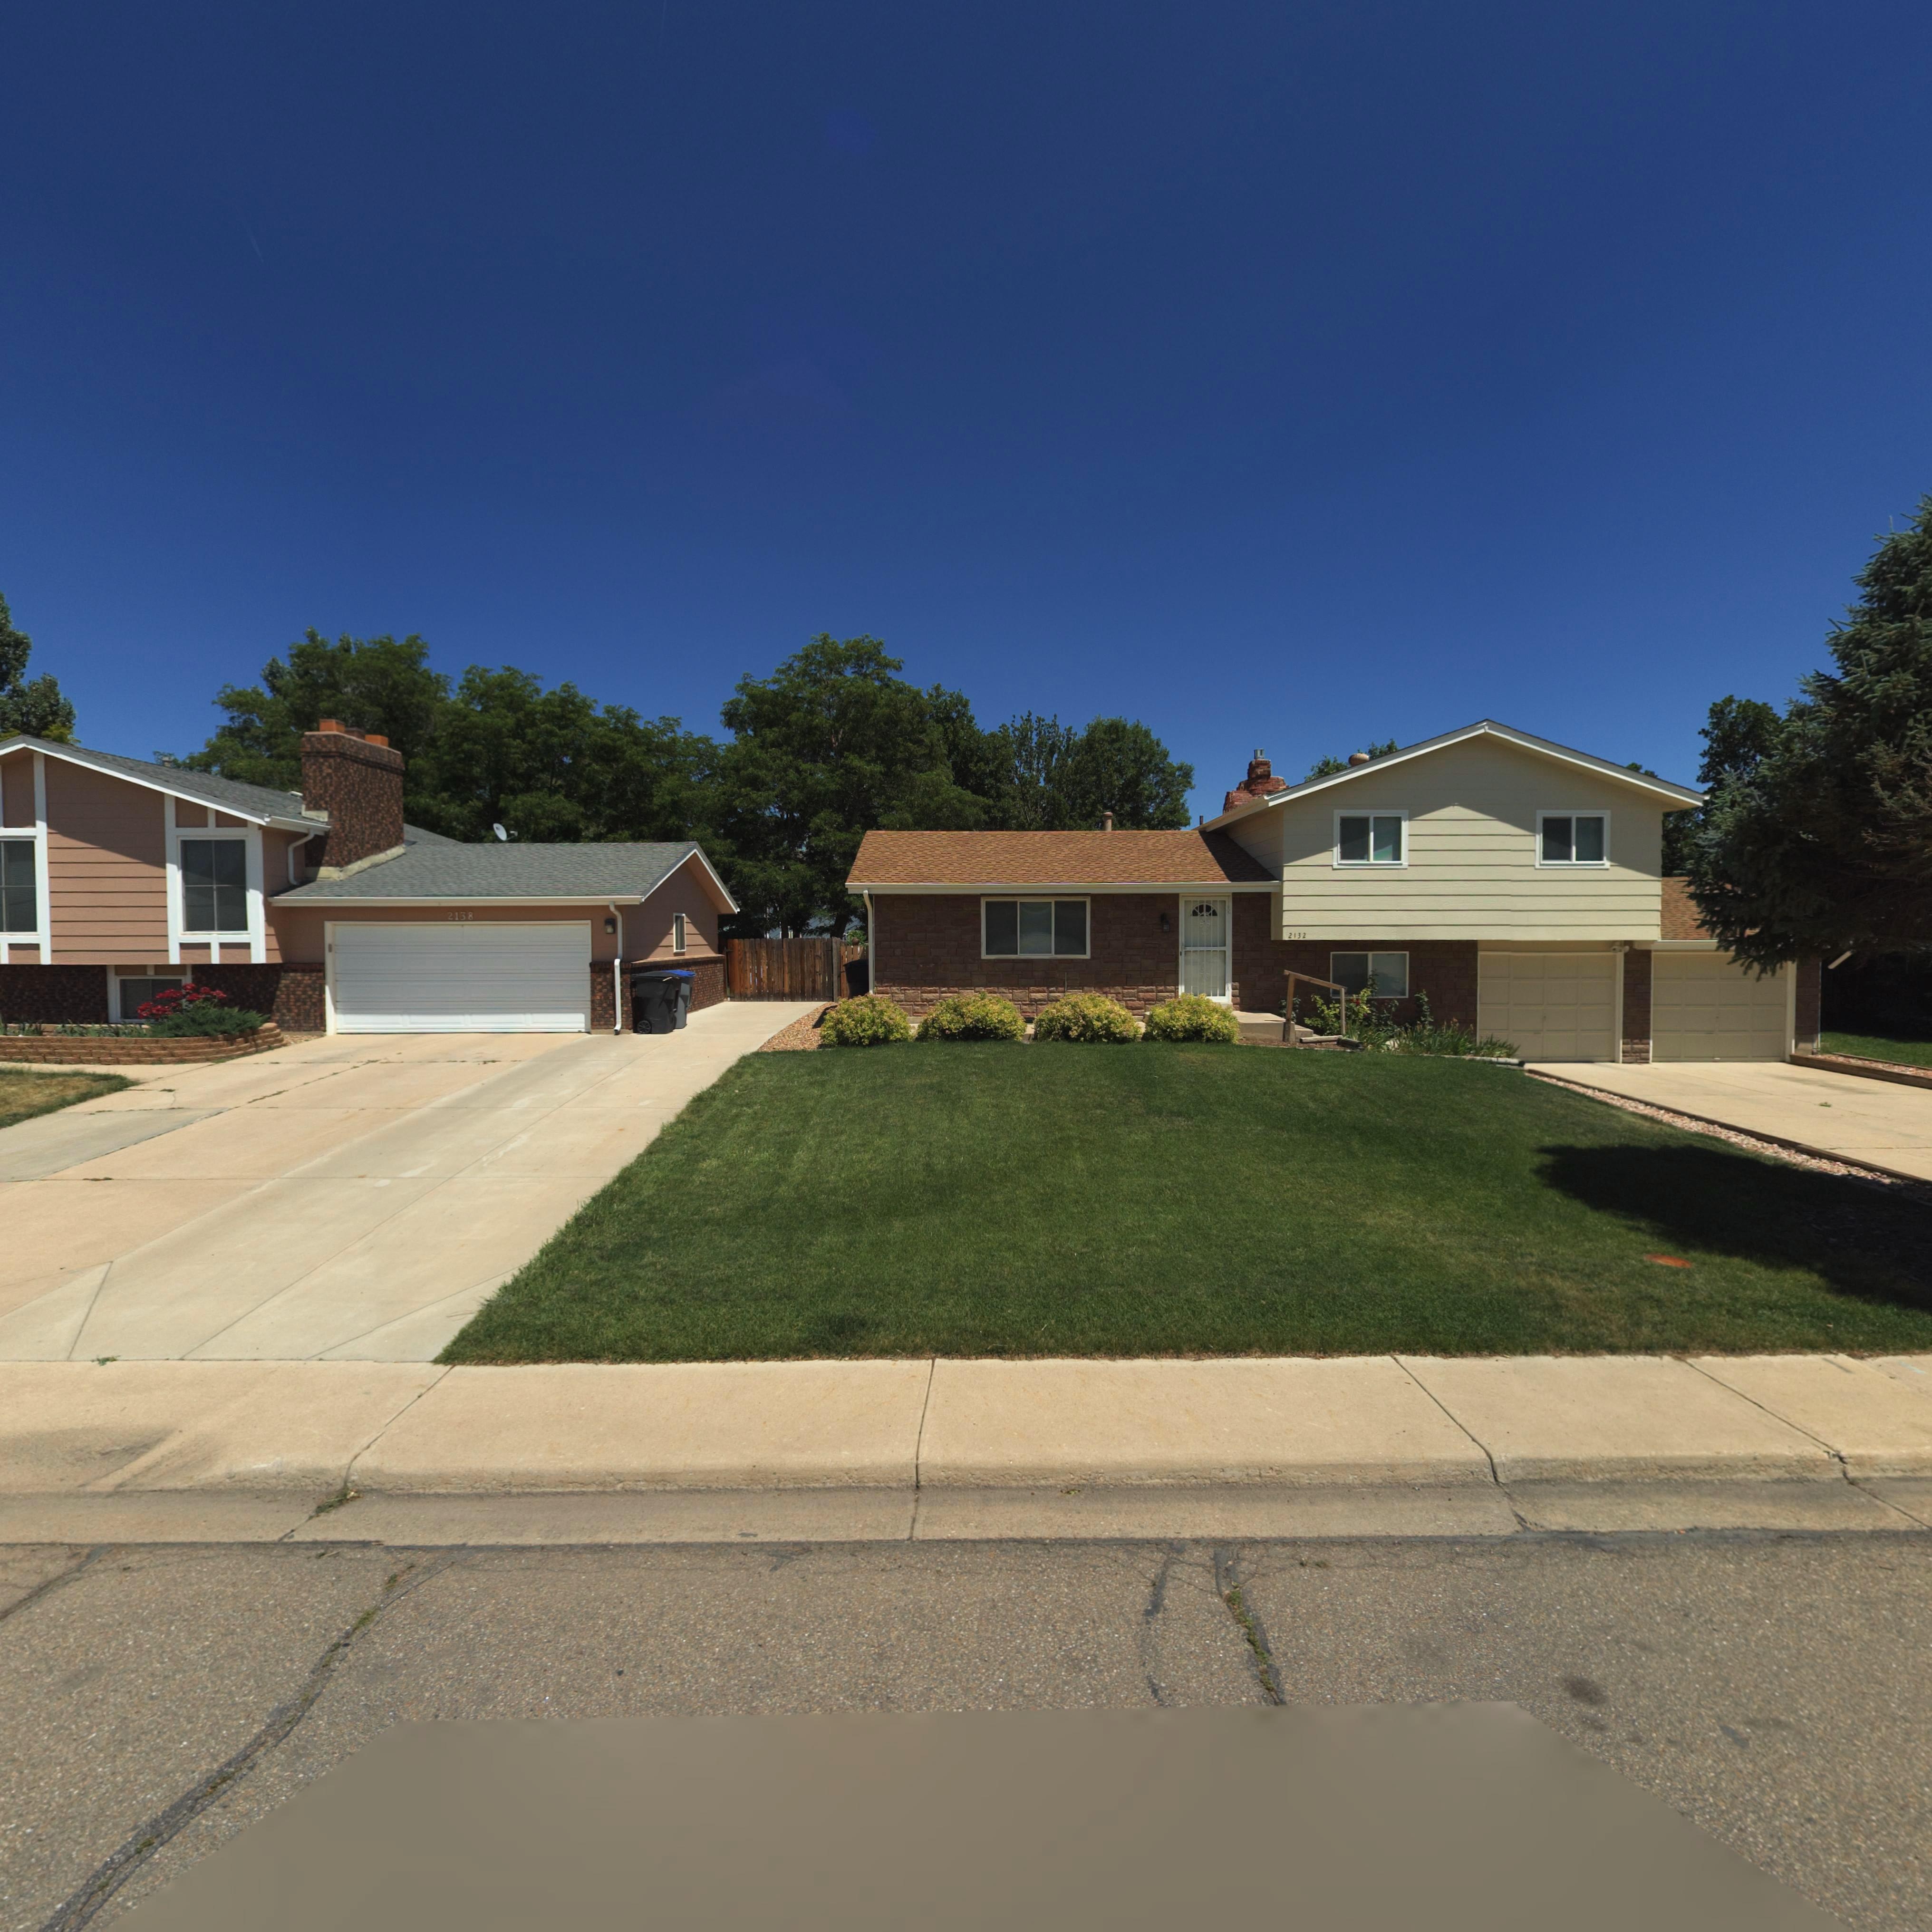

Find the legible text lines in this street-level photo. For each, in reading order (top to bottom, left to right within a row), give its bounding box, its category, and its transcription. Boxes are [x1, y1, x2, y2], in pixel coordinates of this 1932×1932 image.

[447, 911, 473, 920] StreetNumber: 2138
[1287, 932, 1307, 939] StreetNumber: 2132